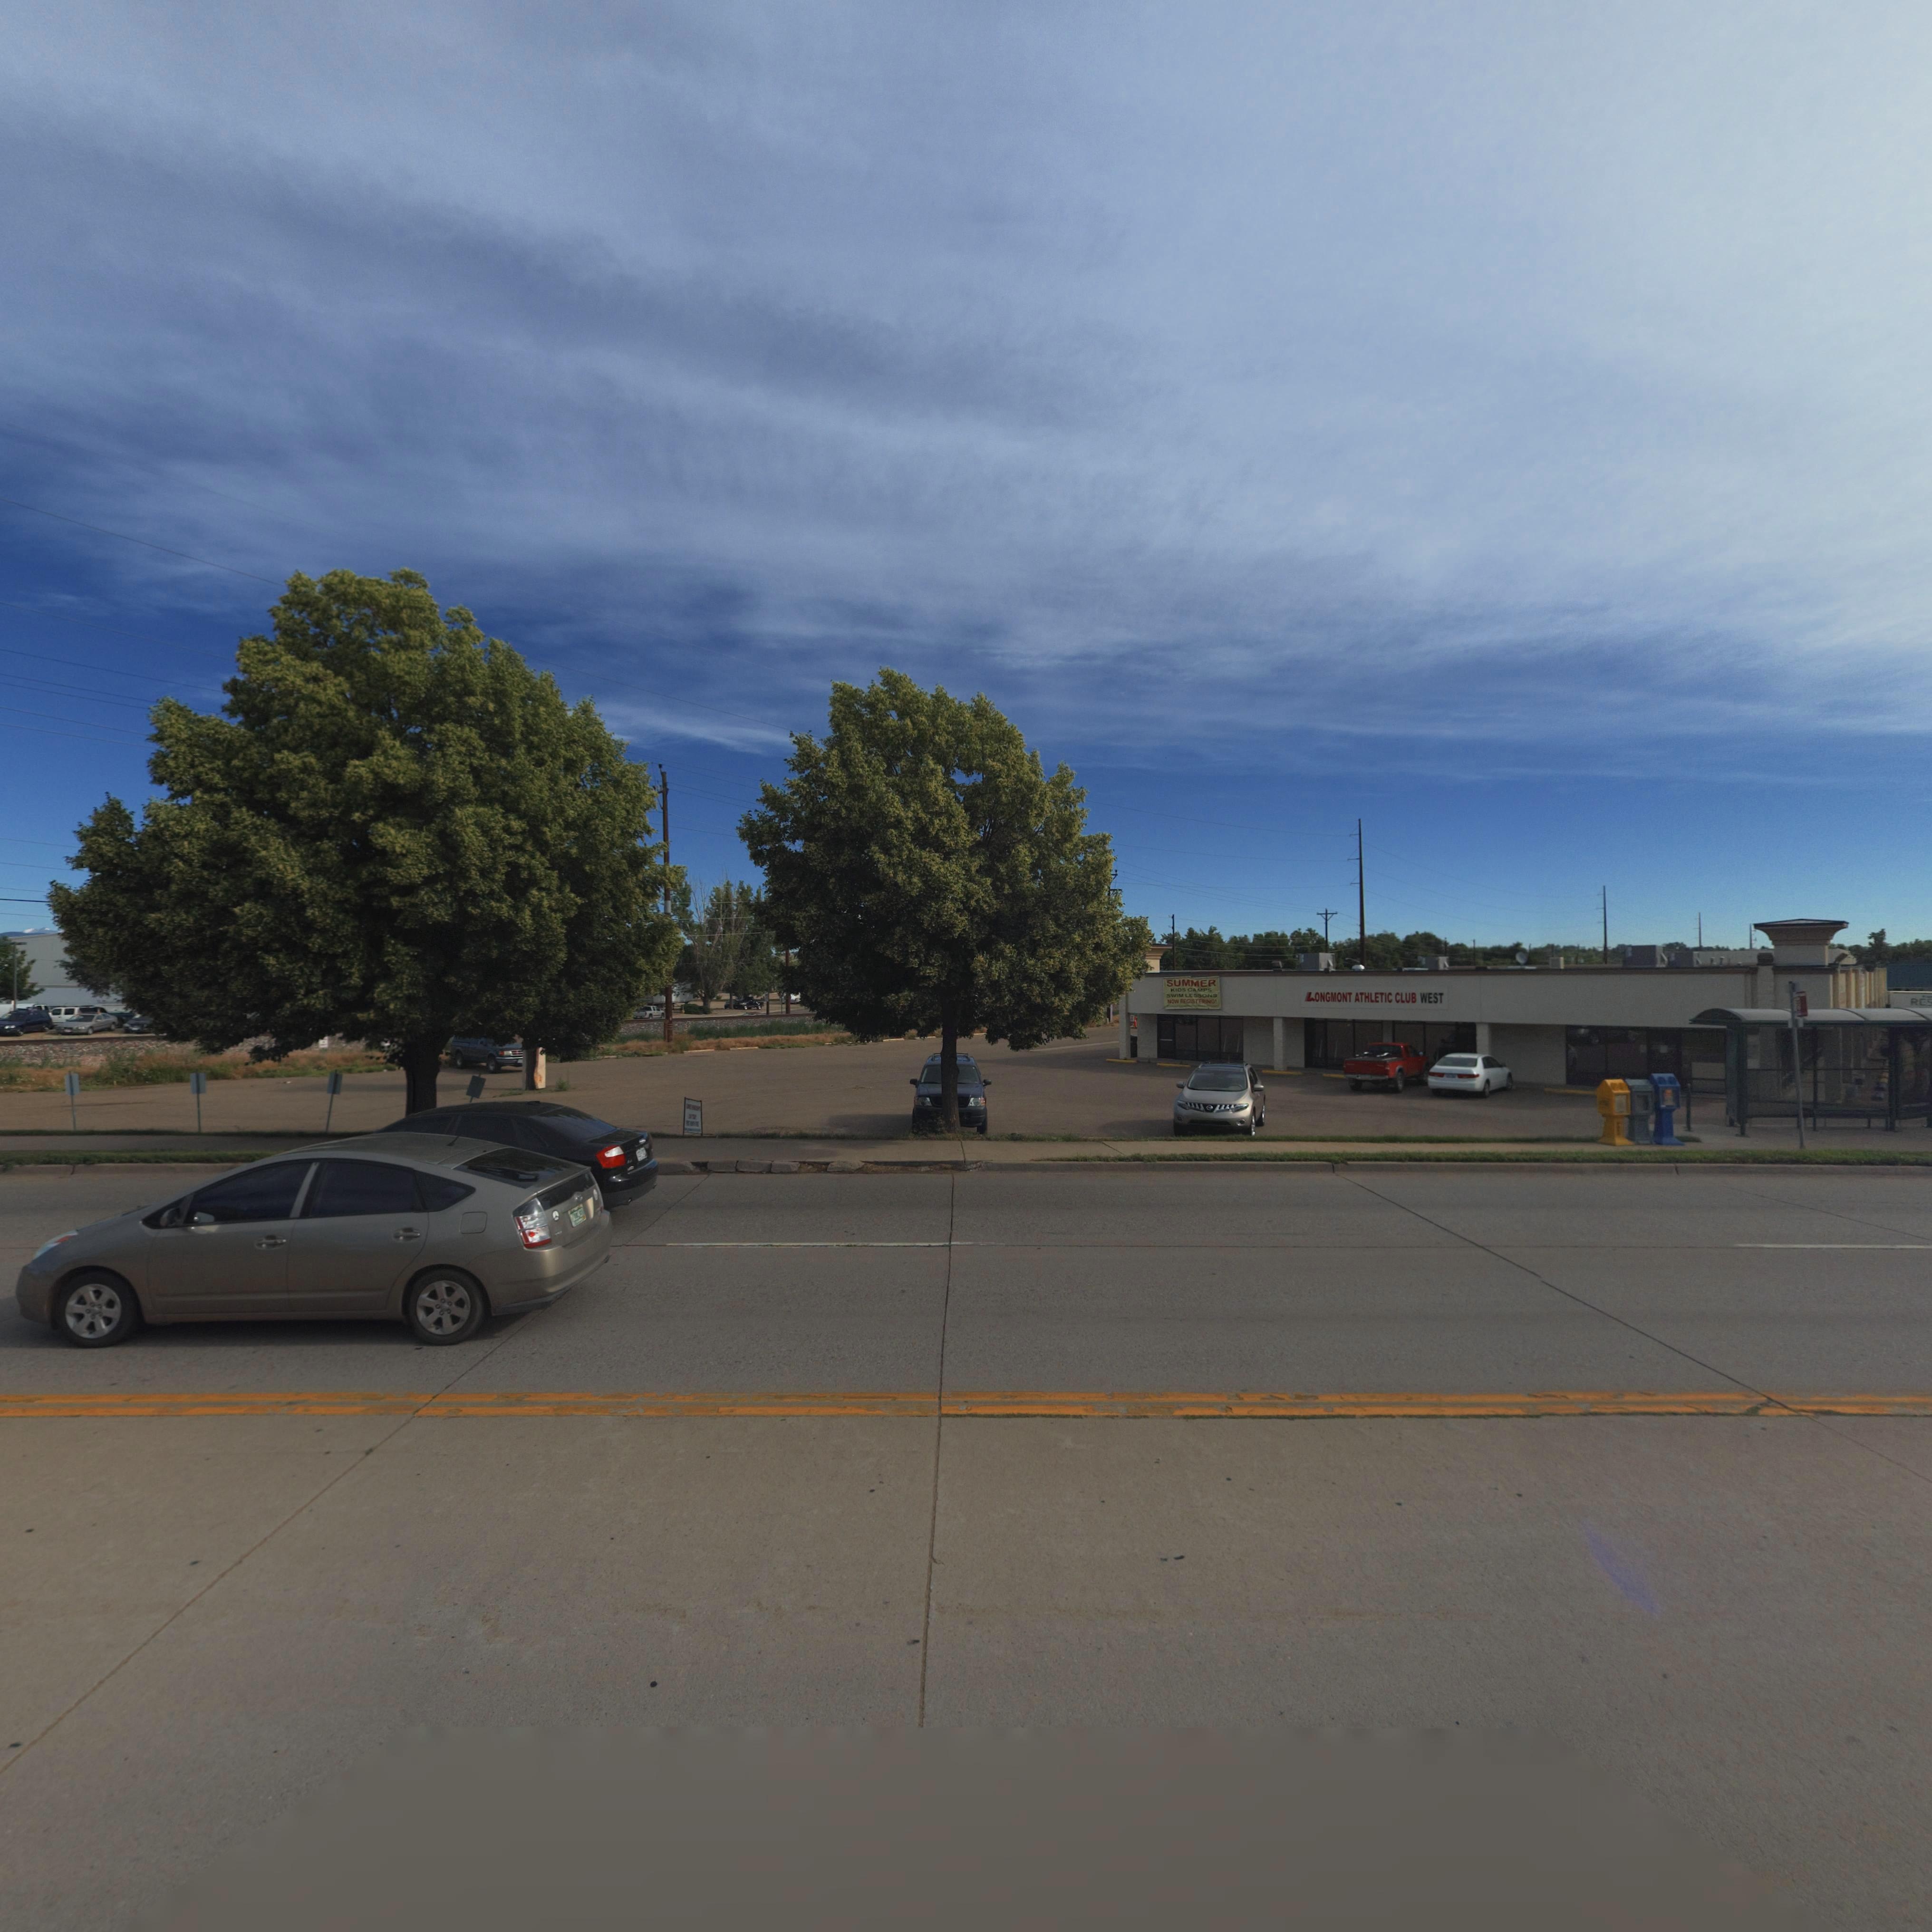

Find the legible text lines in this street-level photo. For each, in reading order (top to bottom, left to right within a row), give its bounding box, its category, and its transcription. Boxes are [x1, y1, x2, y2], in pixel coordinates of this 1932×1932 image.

[1304, 991, 1444, 1004] BusinessName: LONGMONT ATHLETIC CLUB WEST